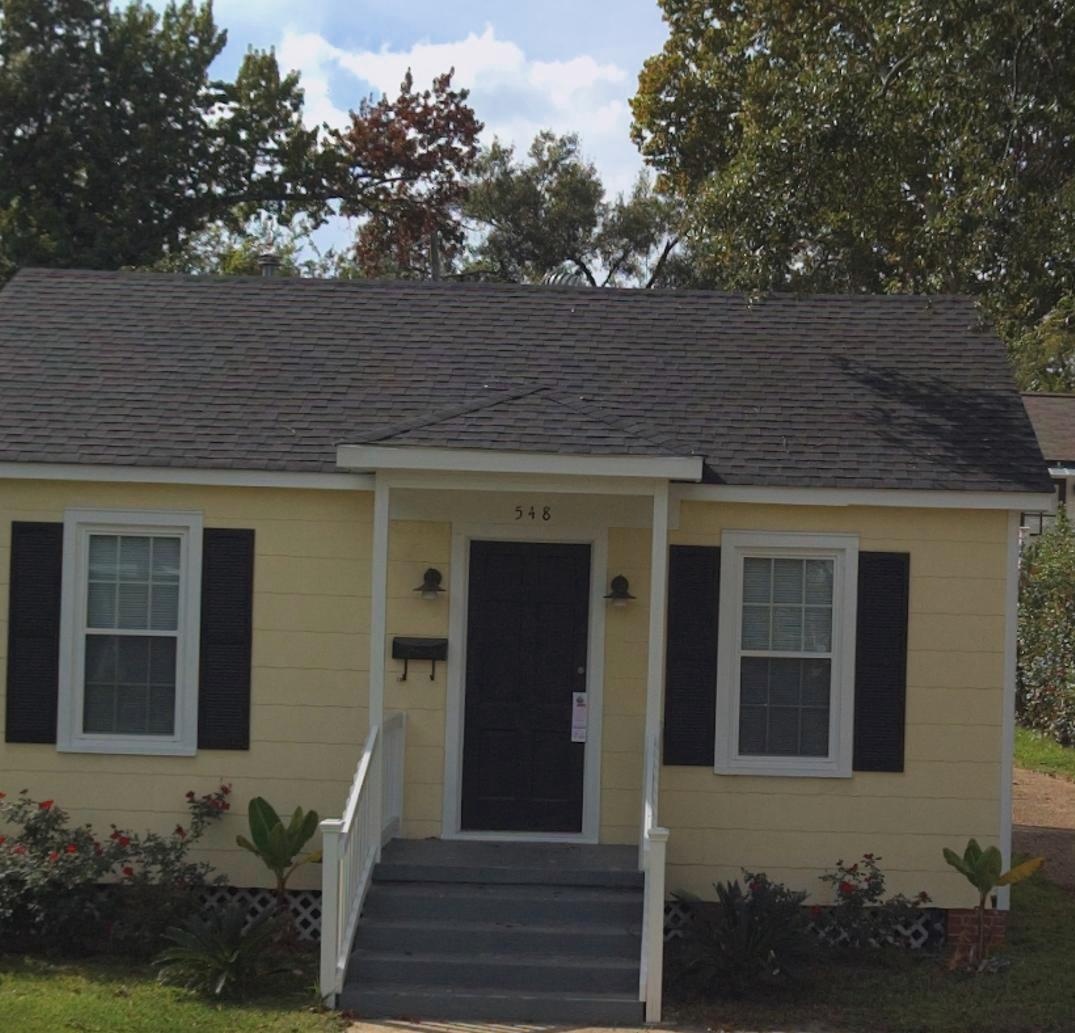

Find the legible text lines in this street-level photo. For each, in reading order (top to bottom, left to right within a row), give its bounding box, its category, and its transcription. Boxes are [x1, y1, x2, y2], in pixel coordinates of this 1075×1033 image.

[513, 504, 553, 522] StreetNumber: 548